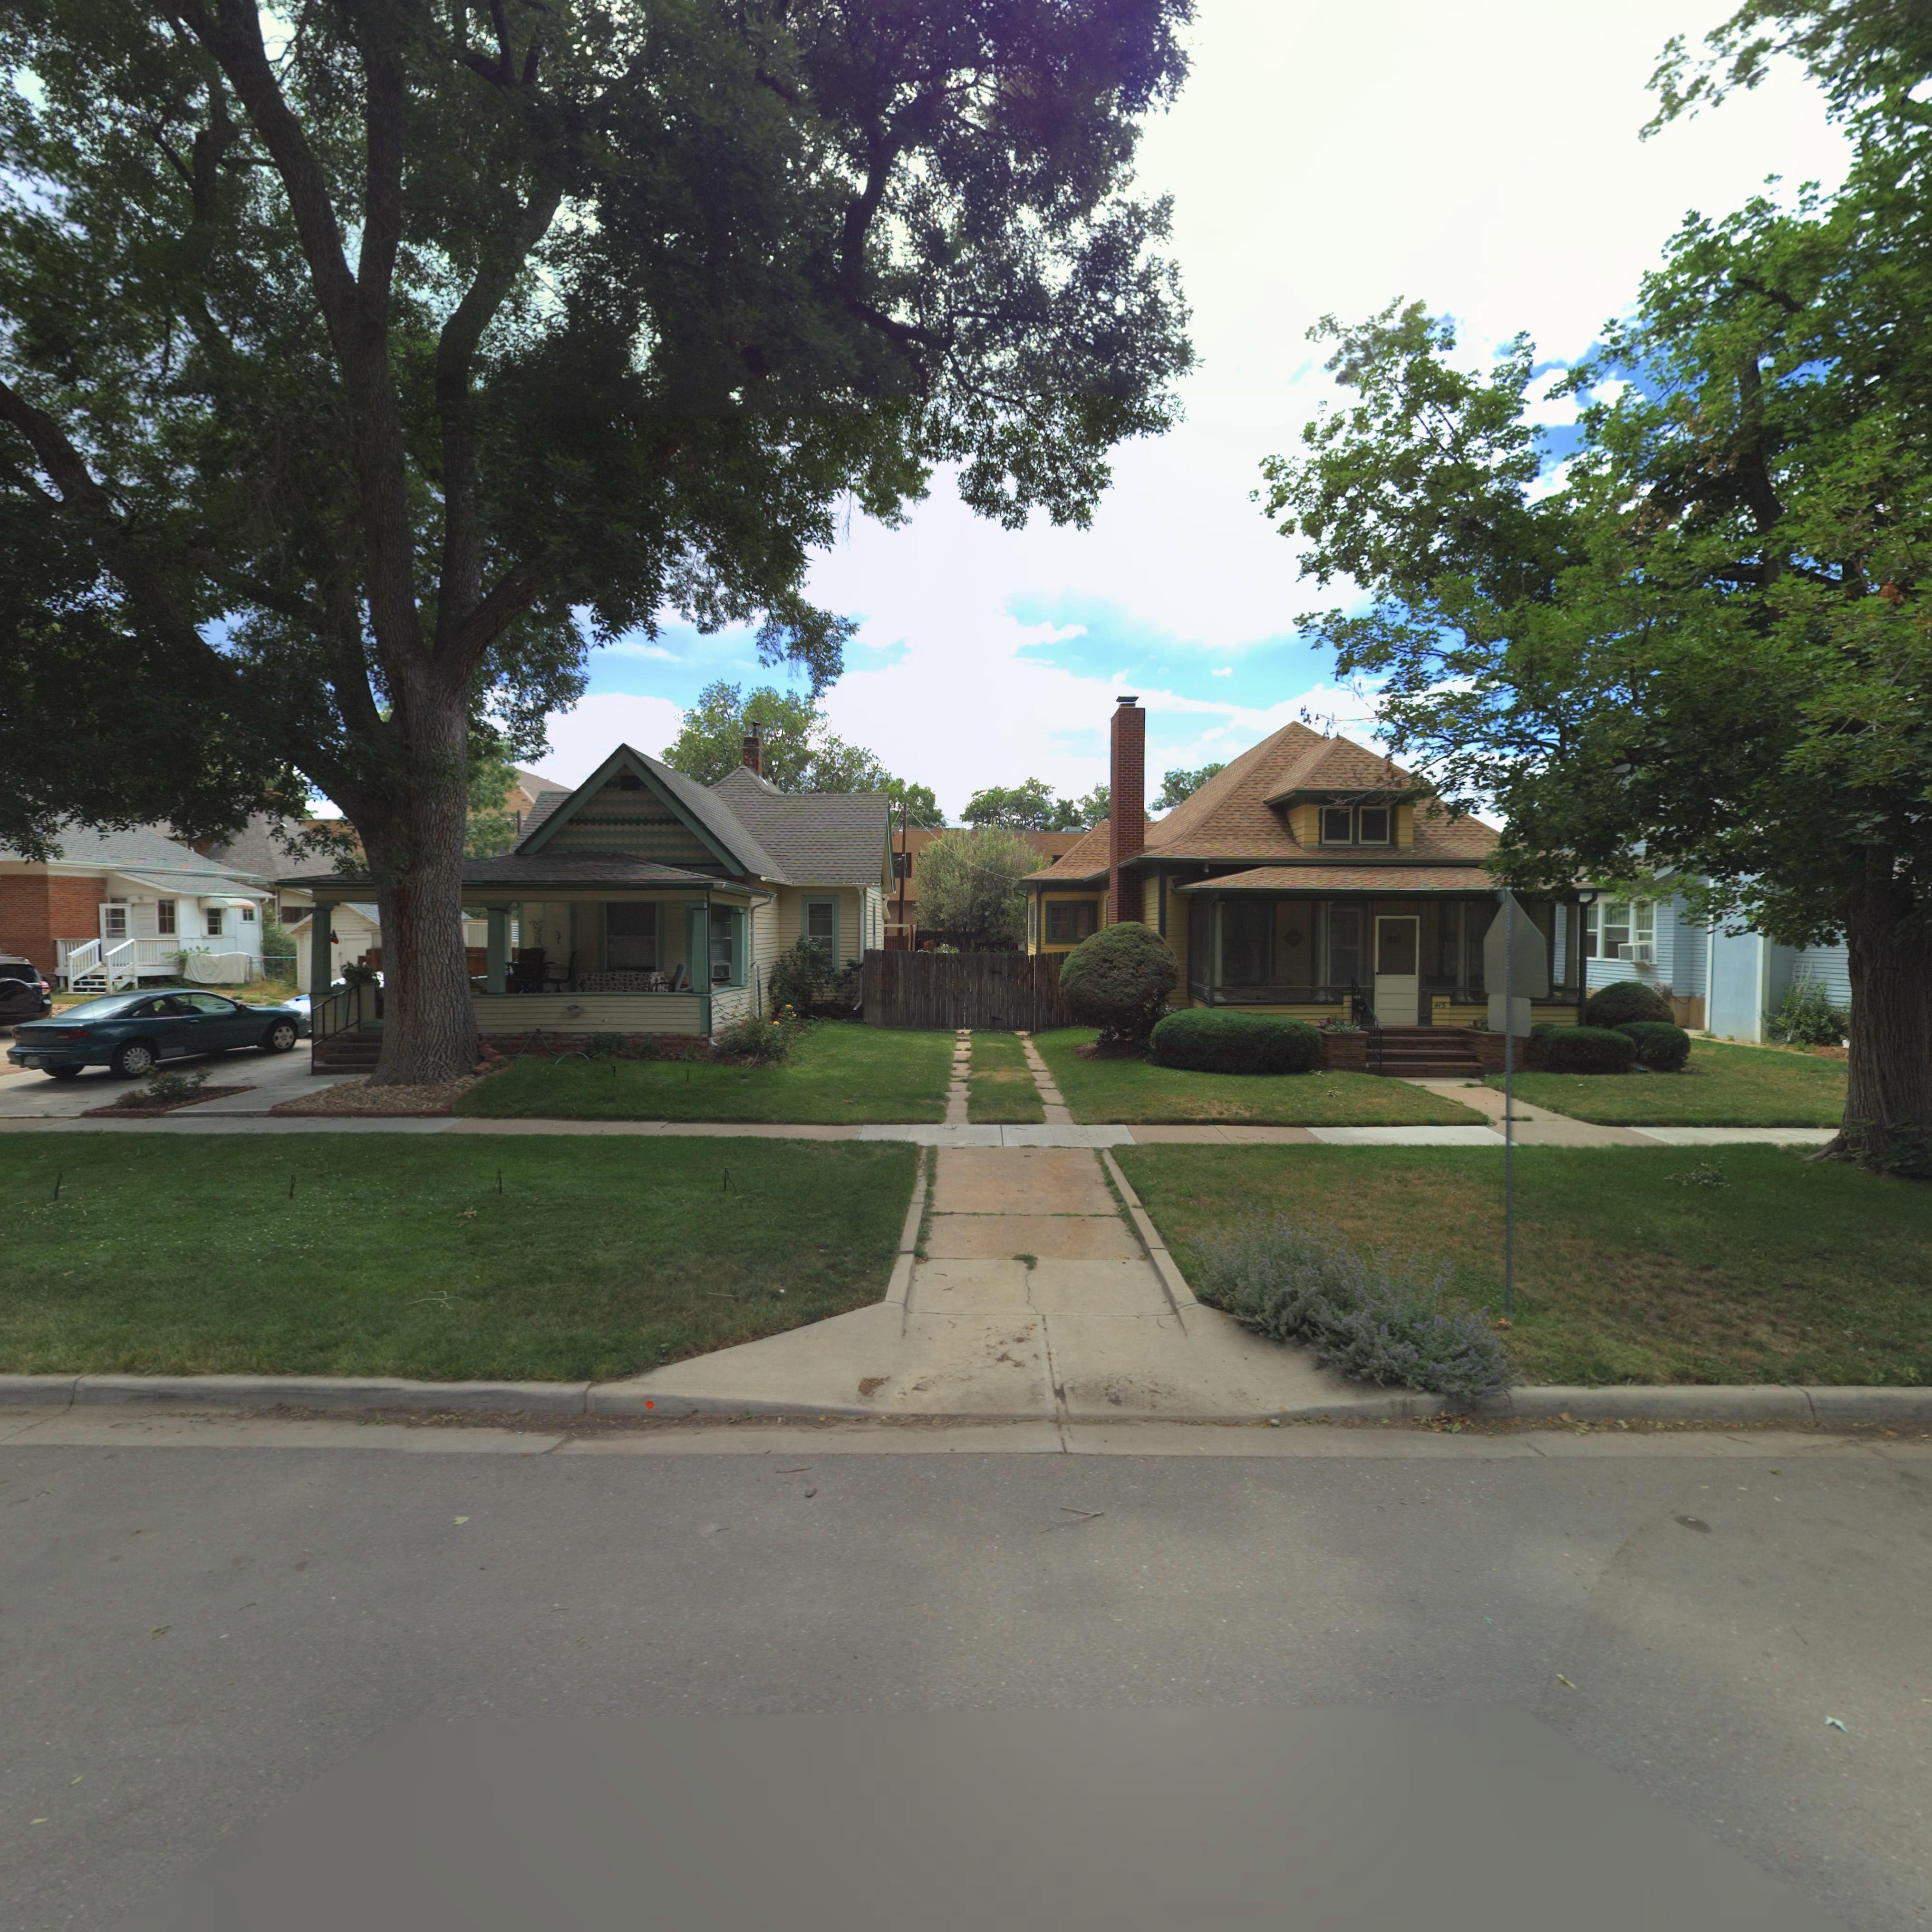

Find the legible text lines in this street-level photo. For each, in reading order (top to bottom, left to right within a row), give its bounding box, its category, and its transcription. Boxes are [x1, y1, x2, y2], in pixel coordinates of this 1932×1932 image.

[1432, 1001, 1446, 1009] StreetNumber: 415